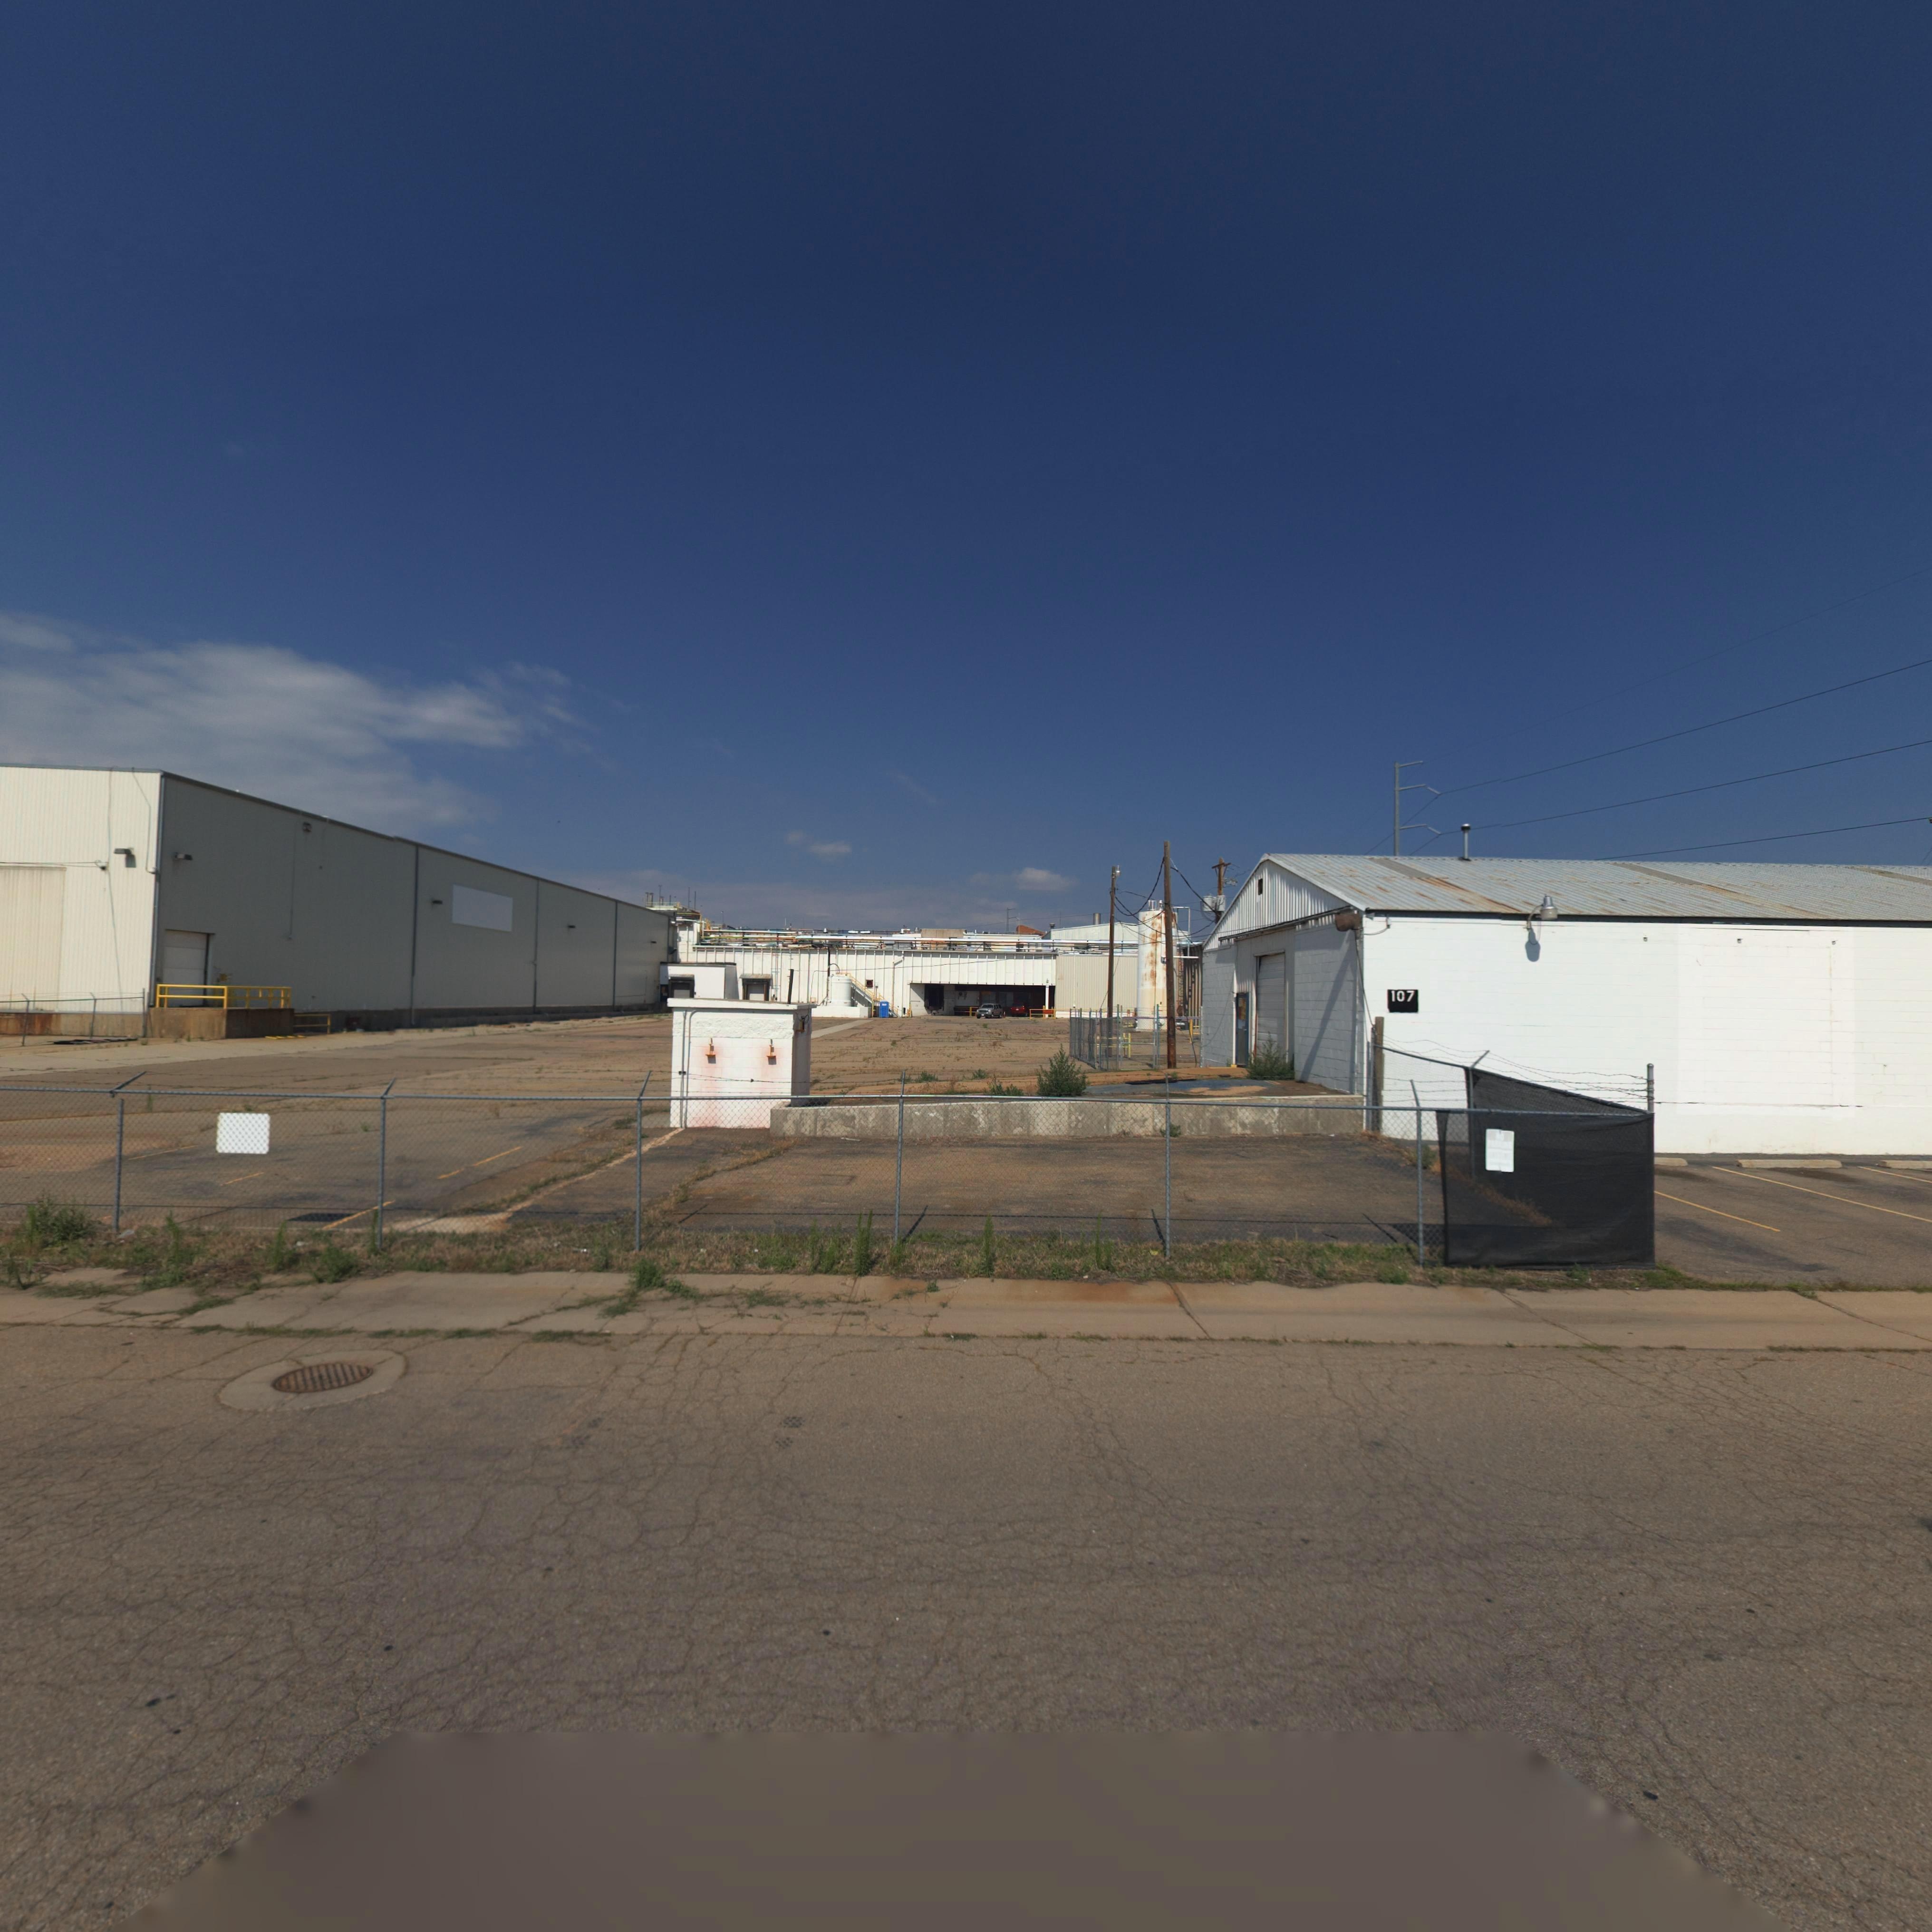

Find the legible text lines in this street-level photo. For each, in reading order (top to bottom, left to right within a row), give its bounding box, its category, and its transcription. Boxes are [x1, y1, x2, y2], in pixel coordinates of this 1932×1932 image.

[1390, 990, 1415, 1002] StreetNumber: 107